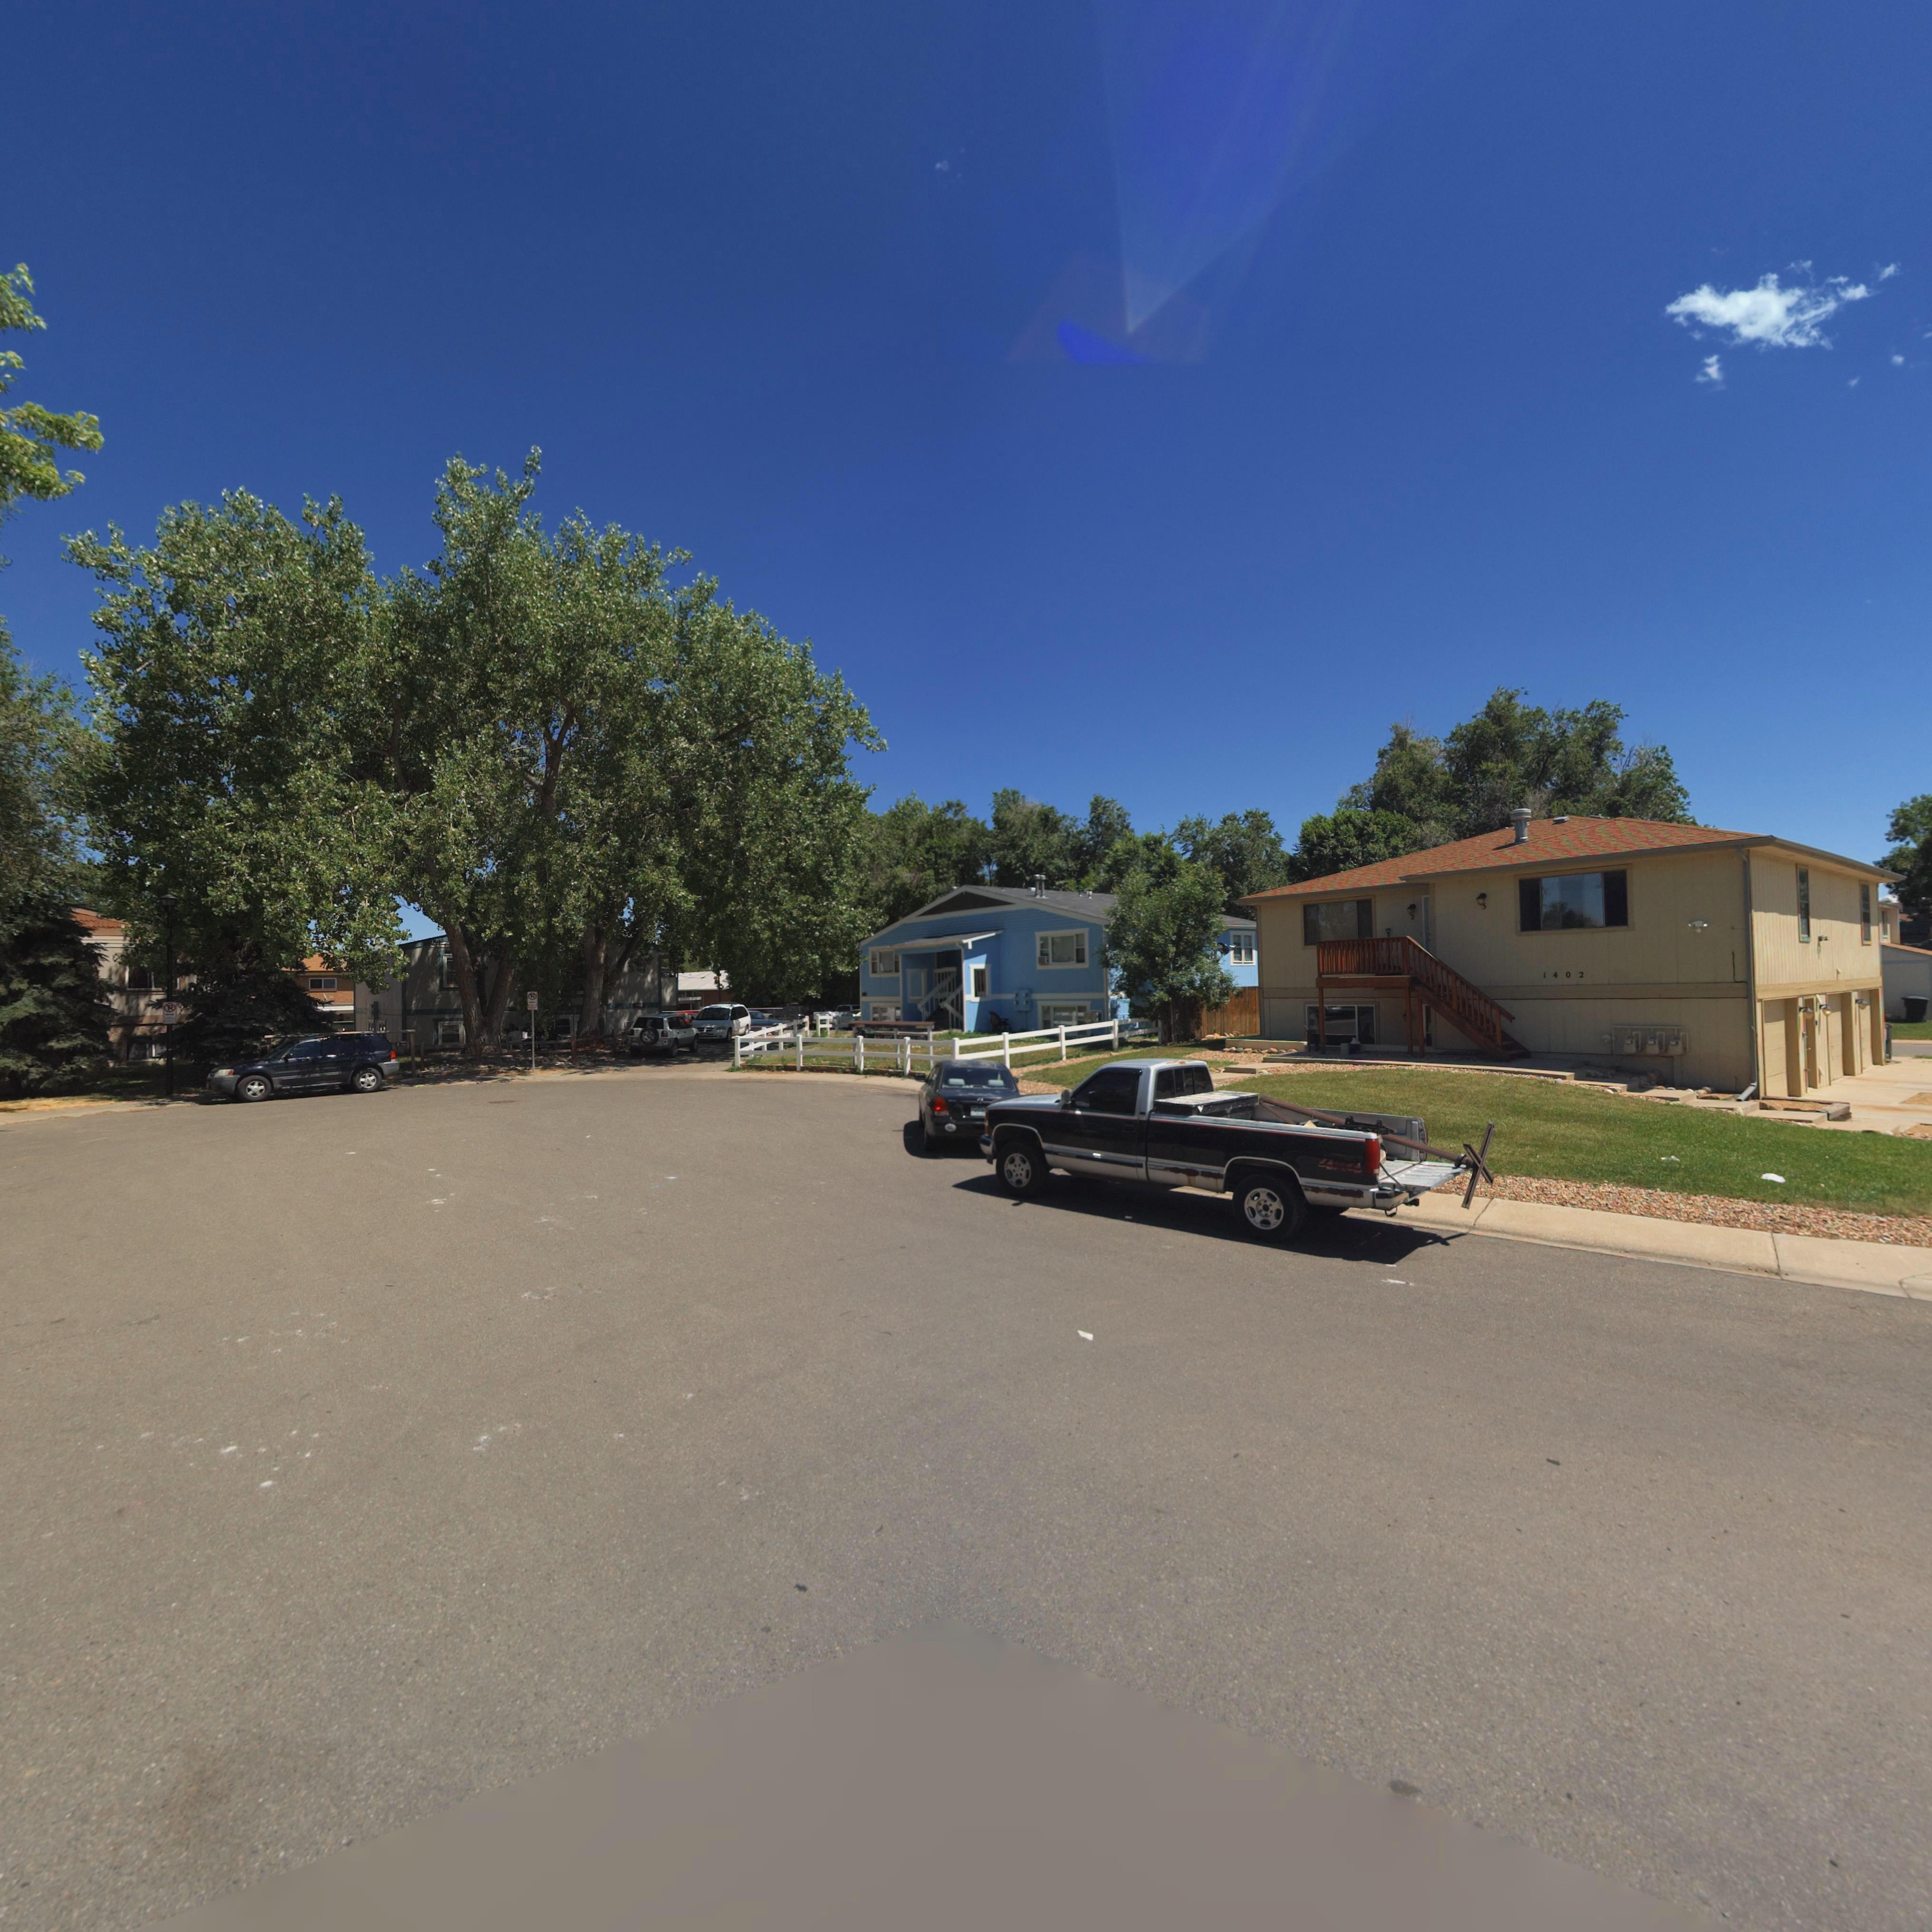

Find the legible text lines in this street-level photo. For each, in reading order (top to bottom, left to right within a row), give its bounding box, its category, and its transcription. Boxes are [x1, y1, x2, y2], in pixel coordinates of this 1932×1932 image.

[1543, 971, 1584, 978] StreetNumber: 1402
[636, 1004, 643, 1007] StreetNumber: 1410